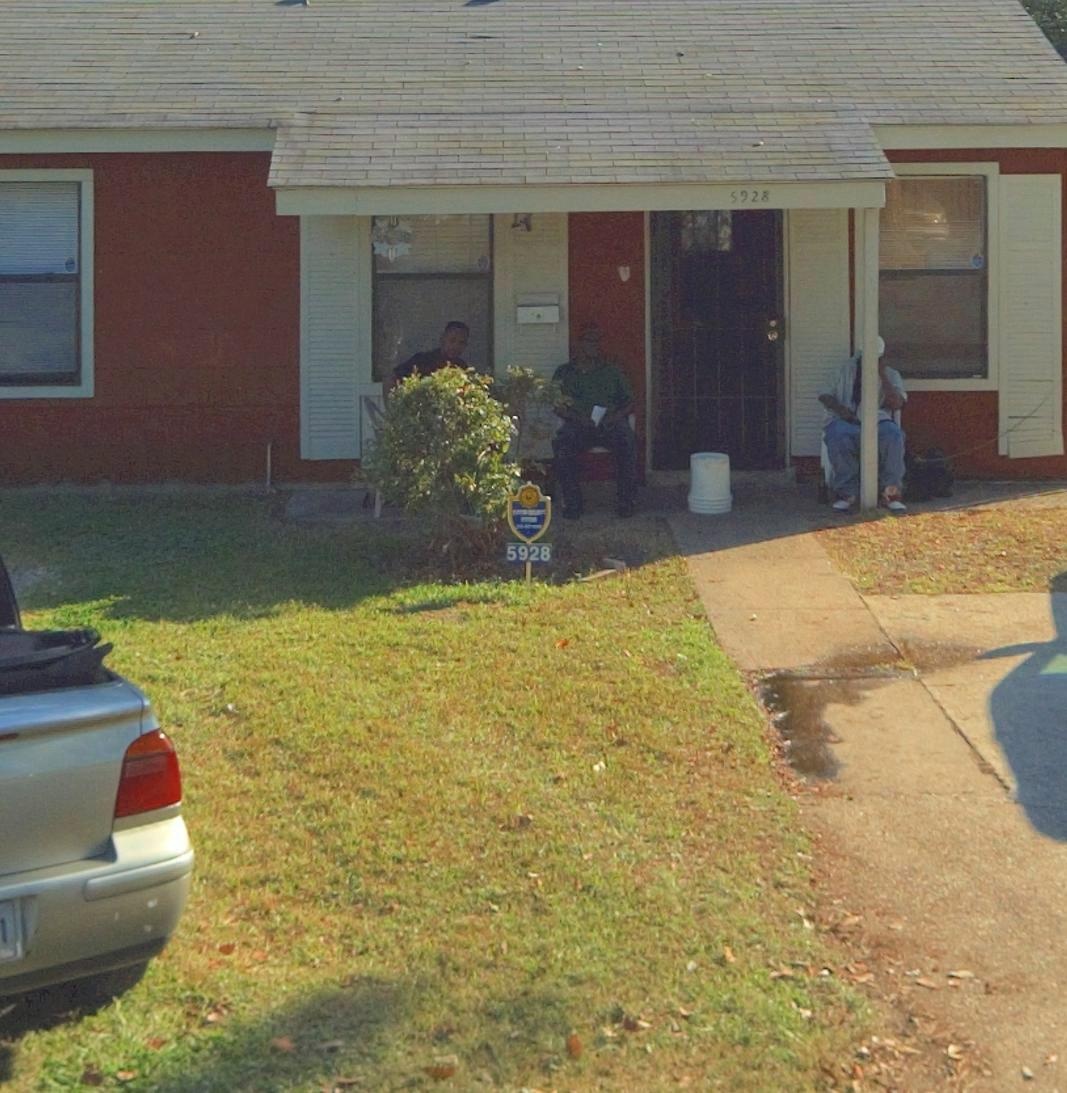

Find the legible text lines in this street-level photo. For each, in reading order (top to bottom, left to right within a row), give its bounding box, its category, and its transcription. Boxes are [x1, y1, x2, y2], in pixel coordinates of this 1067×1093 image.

[729, 189, 772, 204] StreetNumber: 5928
[506, 545, 551, 561] StreetNumber: 5928